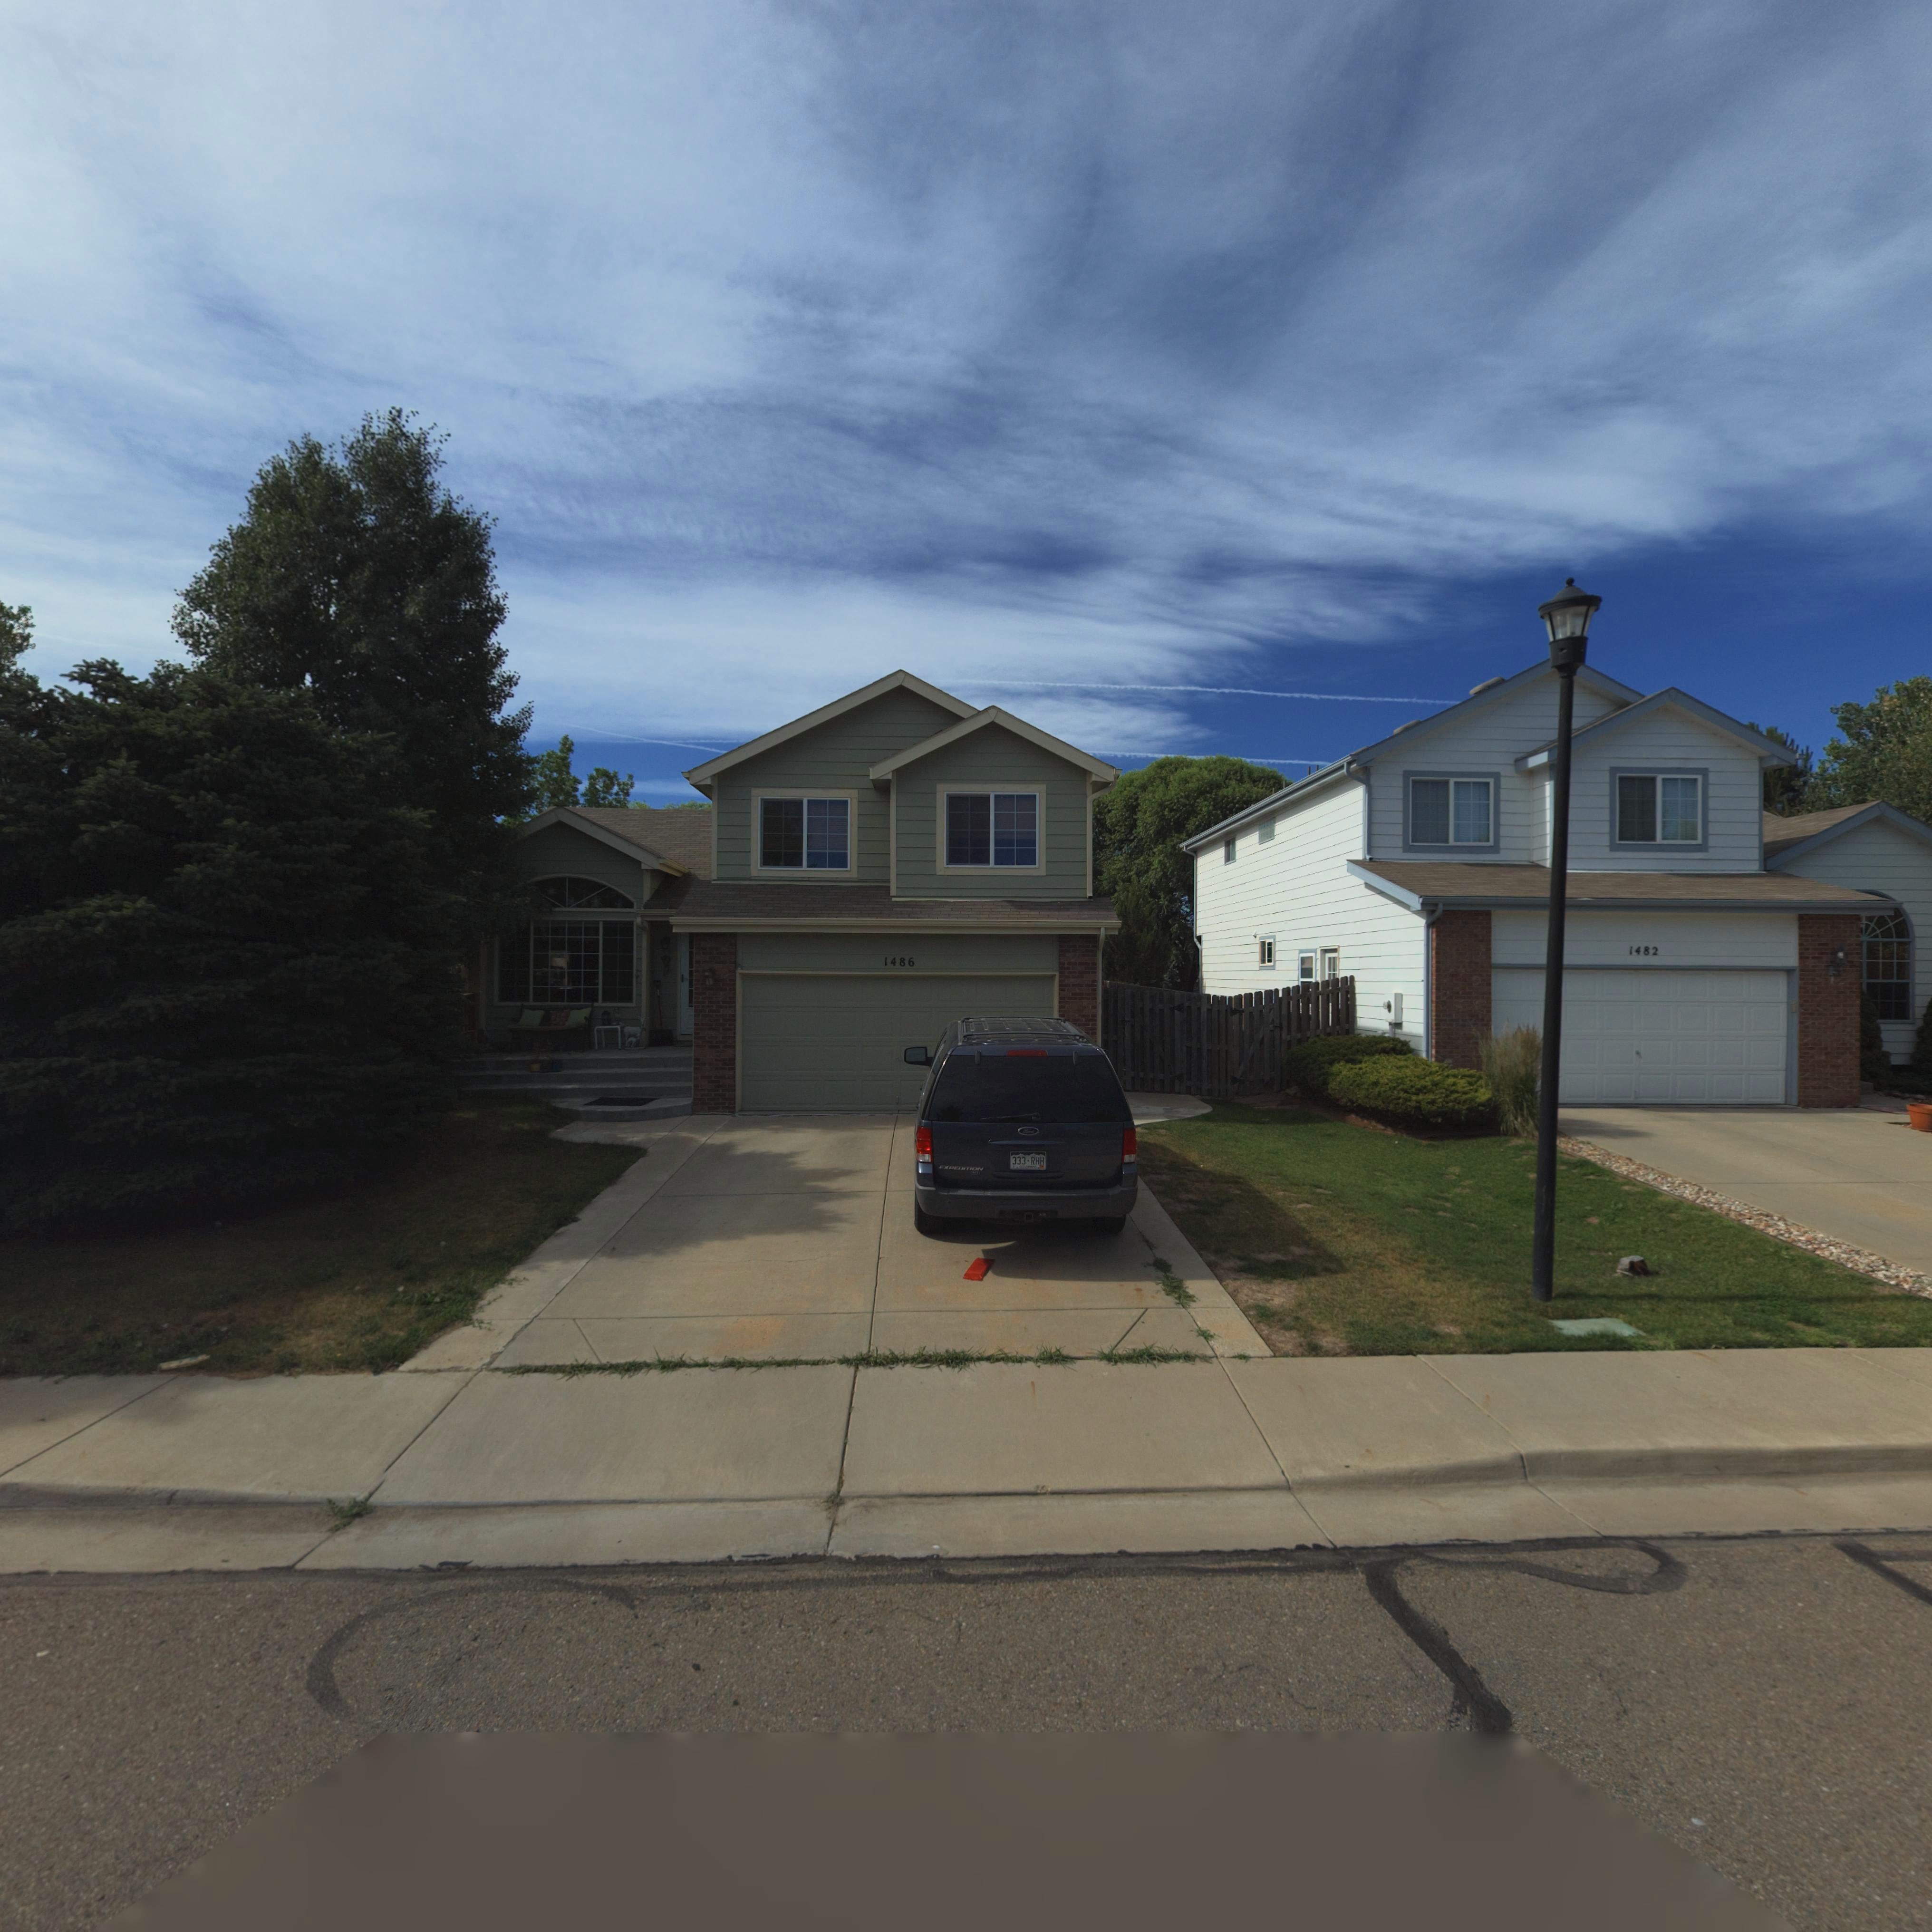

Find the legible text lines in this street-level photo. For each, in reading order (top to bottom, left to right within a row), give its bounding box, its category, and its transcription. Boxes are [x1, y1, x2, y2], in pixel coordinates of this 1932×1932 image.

[1630, 947, 1657, 955] StreetNumber: 1482
[883, 956, 915, 966] StreetNumber: 1486